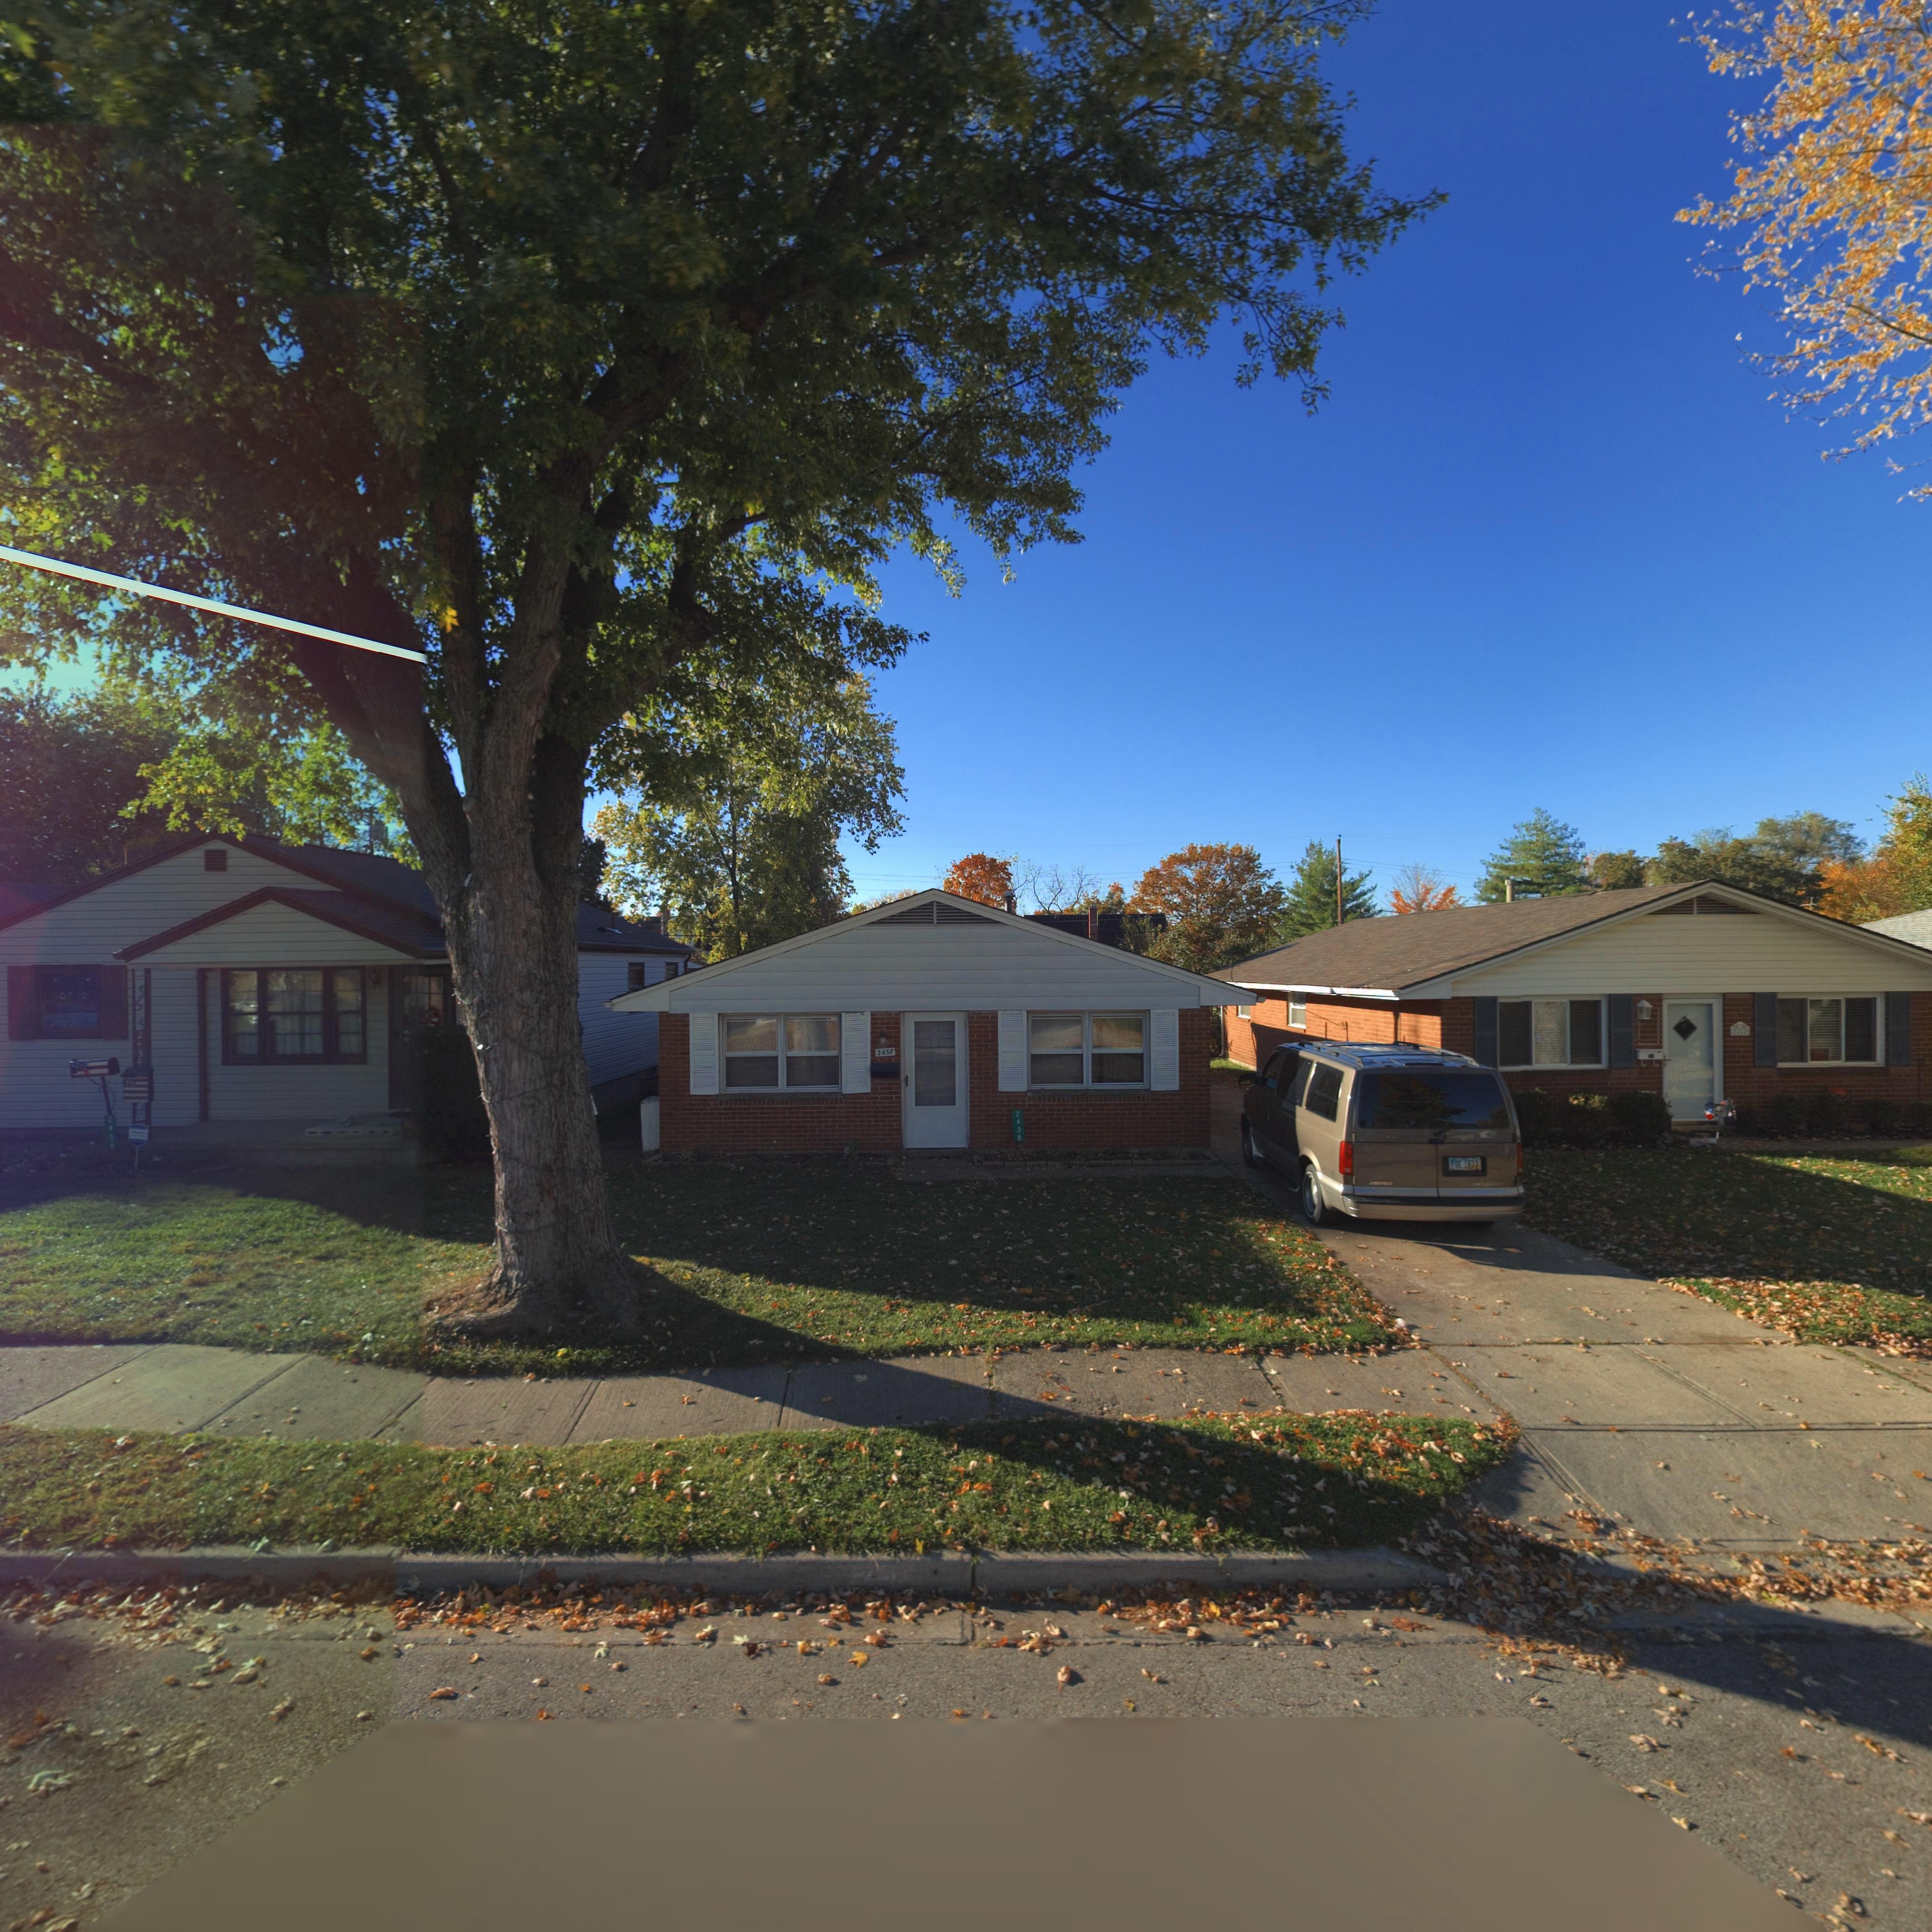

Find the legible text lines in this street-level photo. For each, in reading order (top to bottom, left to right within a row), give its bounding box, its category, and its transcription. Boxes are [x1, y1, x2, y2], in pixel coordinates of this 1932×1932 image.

[1732, 1027, 1748, 1034] StreetNumber: 2442
[136, 1031, 143, 1067] StreetNumber: 2434
[876, 1048, 894, 1056] StreetNumber: 2438
[106, 1115, 116, 1150] StreetNumber: 2434
[1015, 1110, 1022, 1141] StreetNumber: 2438